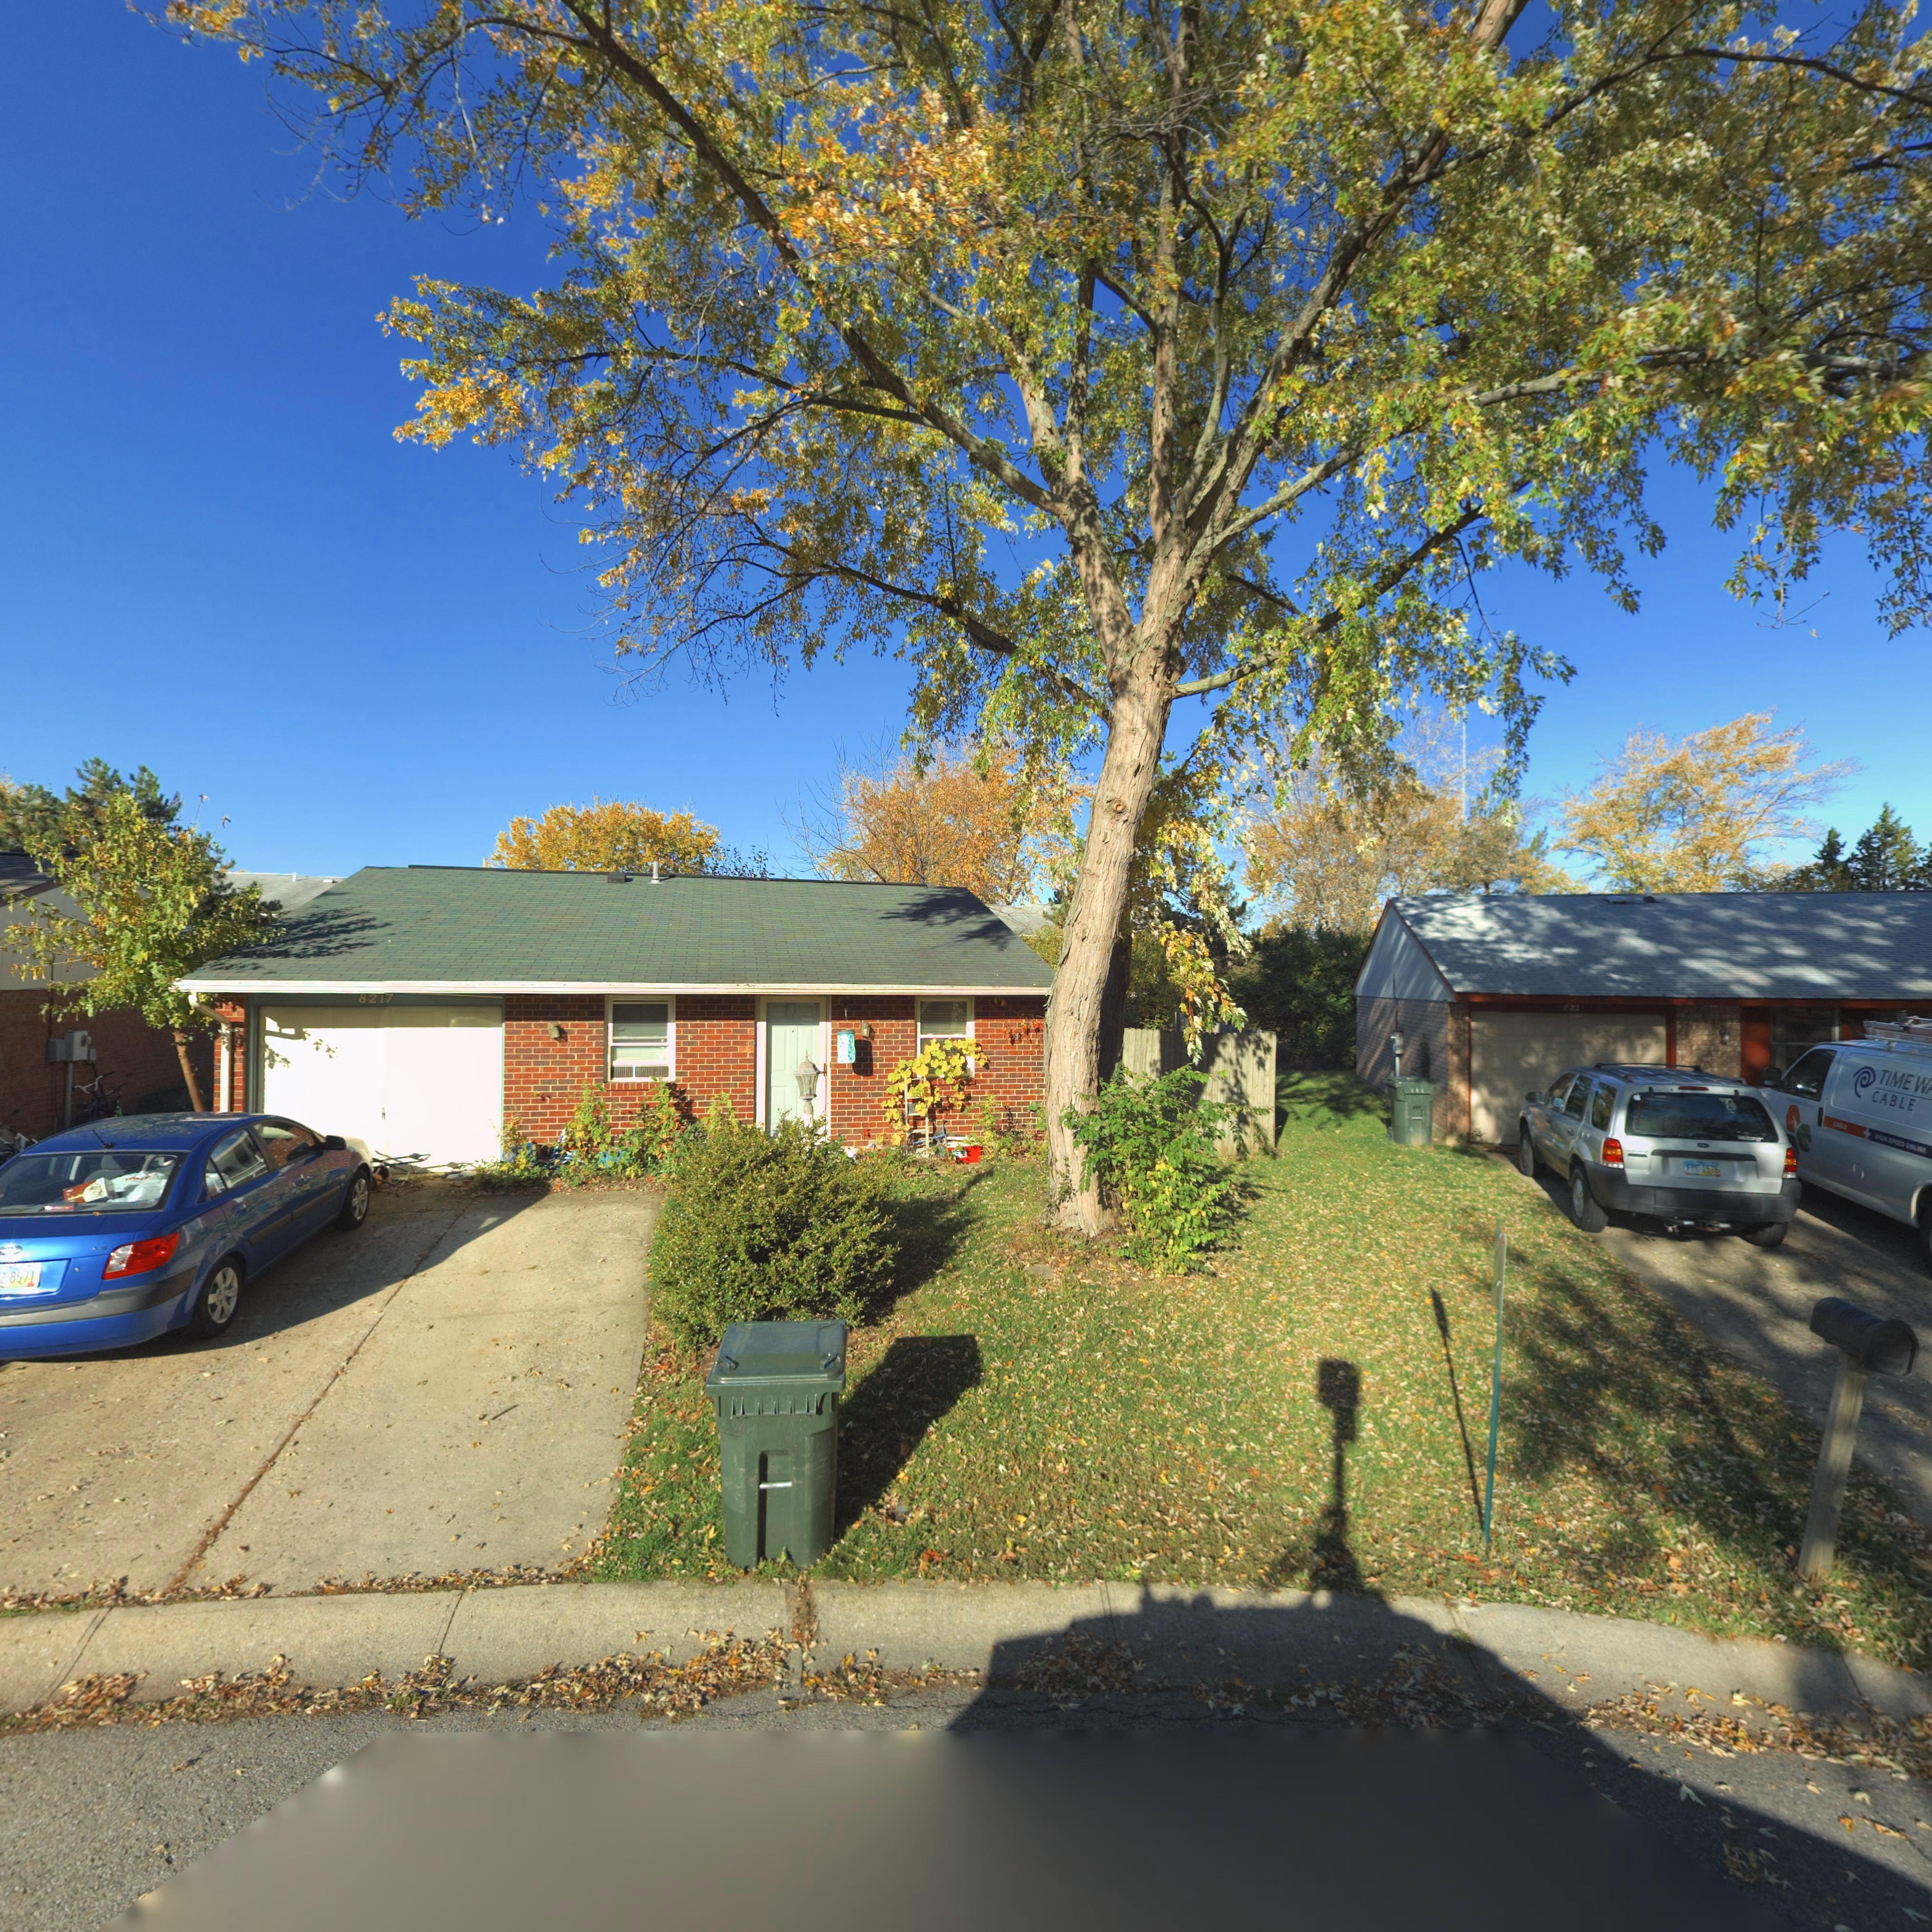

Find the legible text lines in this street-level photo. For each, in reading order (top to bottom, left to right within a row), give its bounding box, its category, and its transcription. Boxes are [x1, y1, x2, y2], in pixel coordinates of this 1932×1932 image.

[358, 993, 396, 1004] StreetNumber: 8217
[1562, 1004, 1584, 1012] StreetNumber: 8221